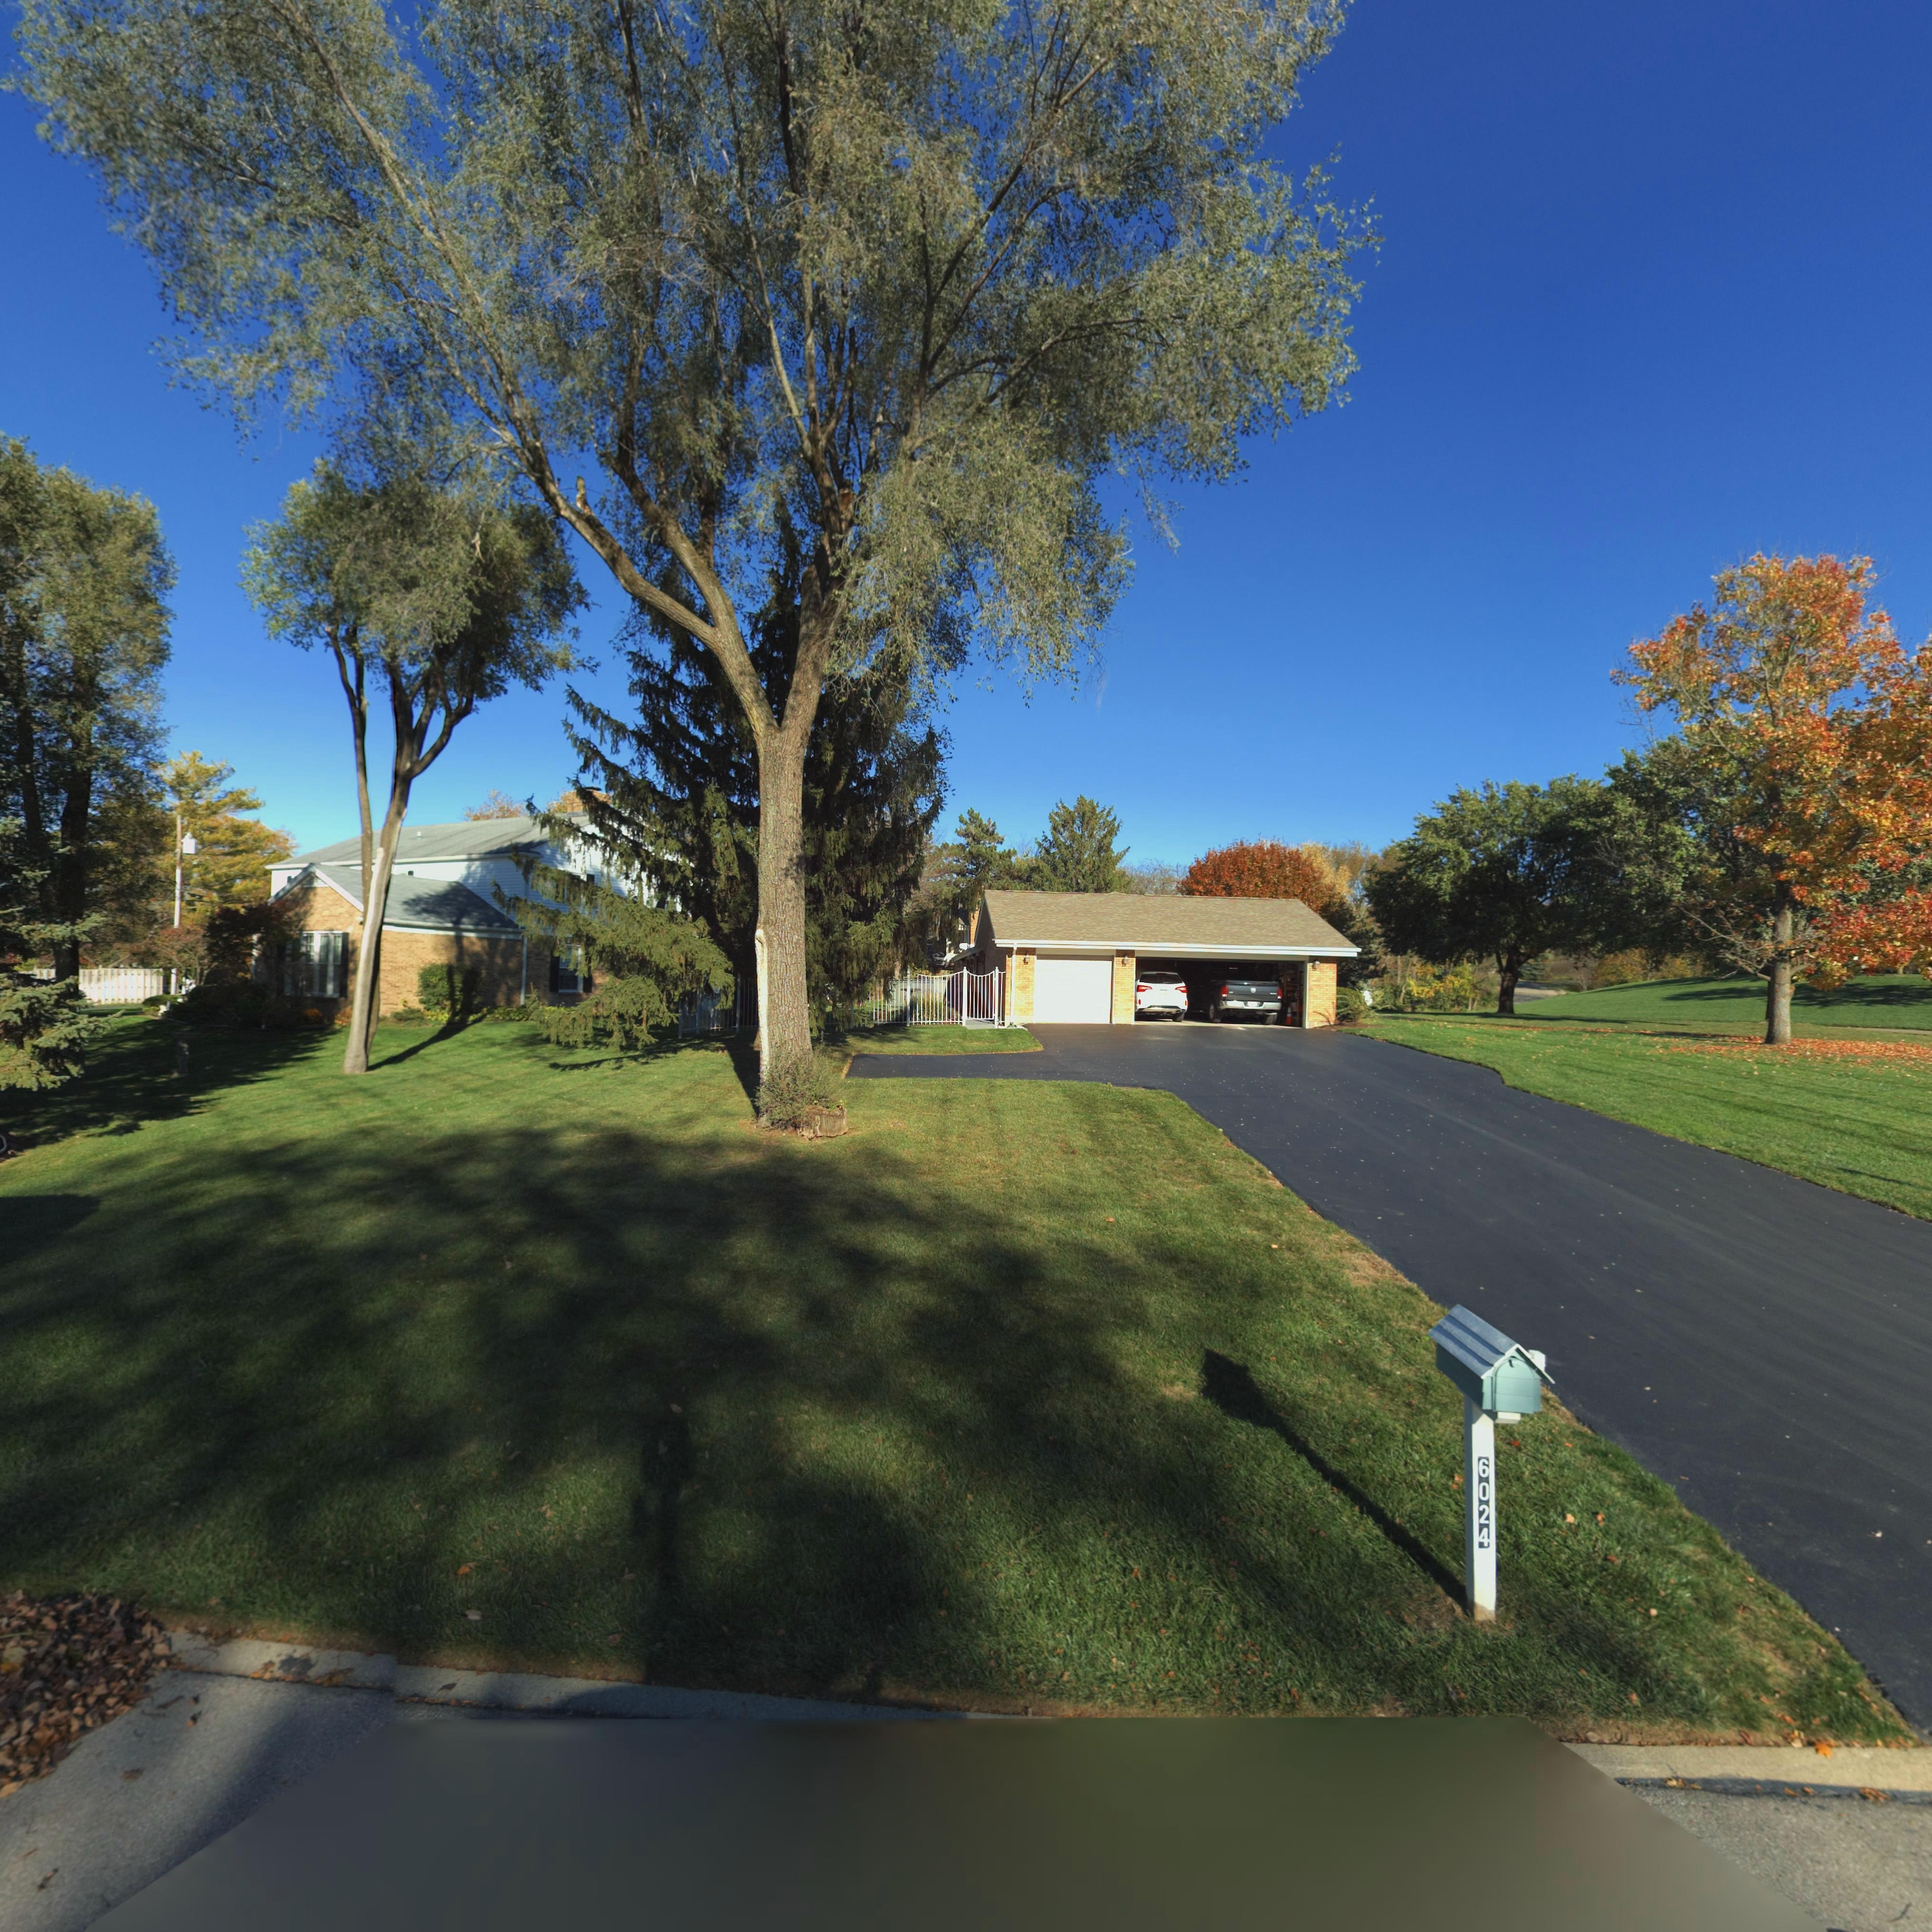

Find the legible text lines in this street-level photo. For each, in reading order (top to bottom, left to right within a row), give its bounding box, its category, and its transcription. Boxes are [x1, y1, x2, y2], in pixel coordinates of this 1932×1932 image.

[1478, 1457, 1491, 1548] StreetNumber: 6024